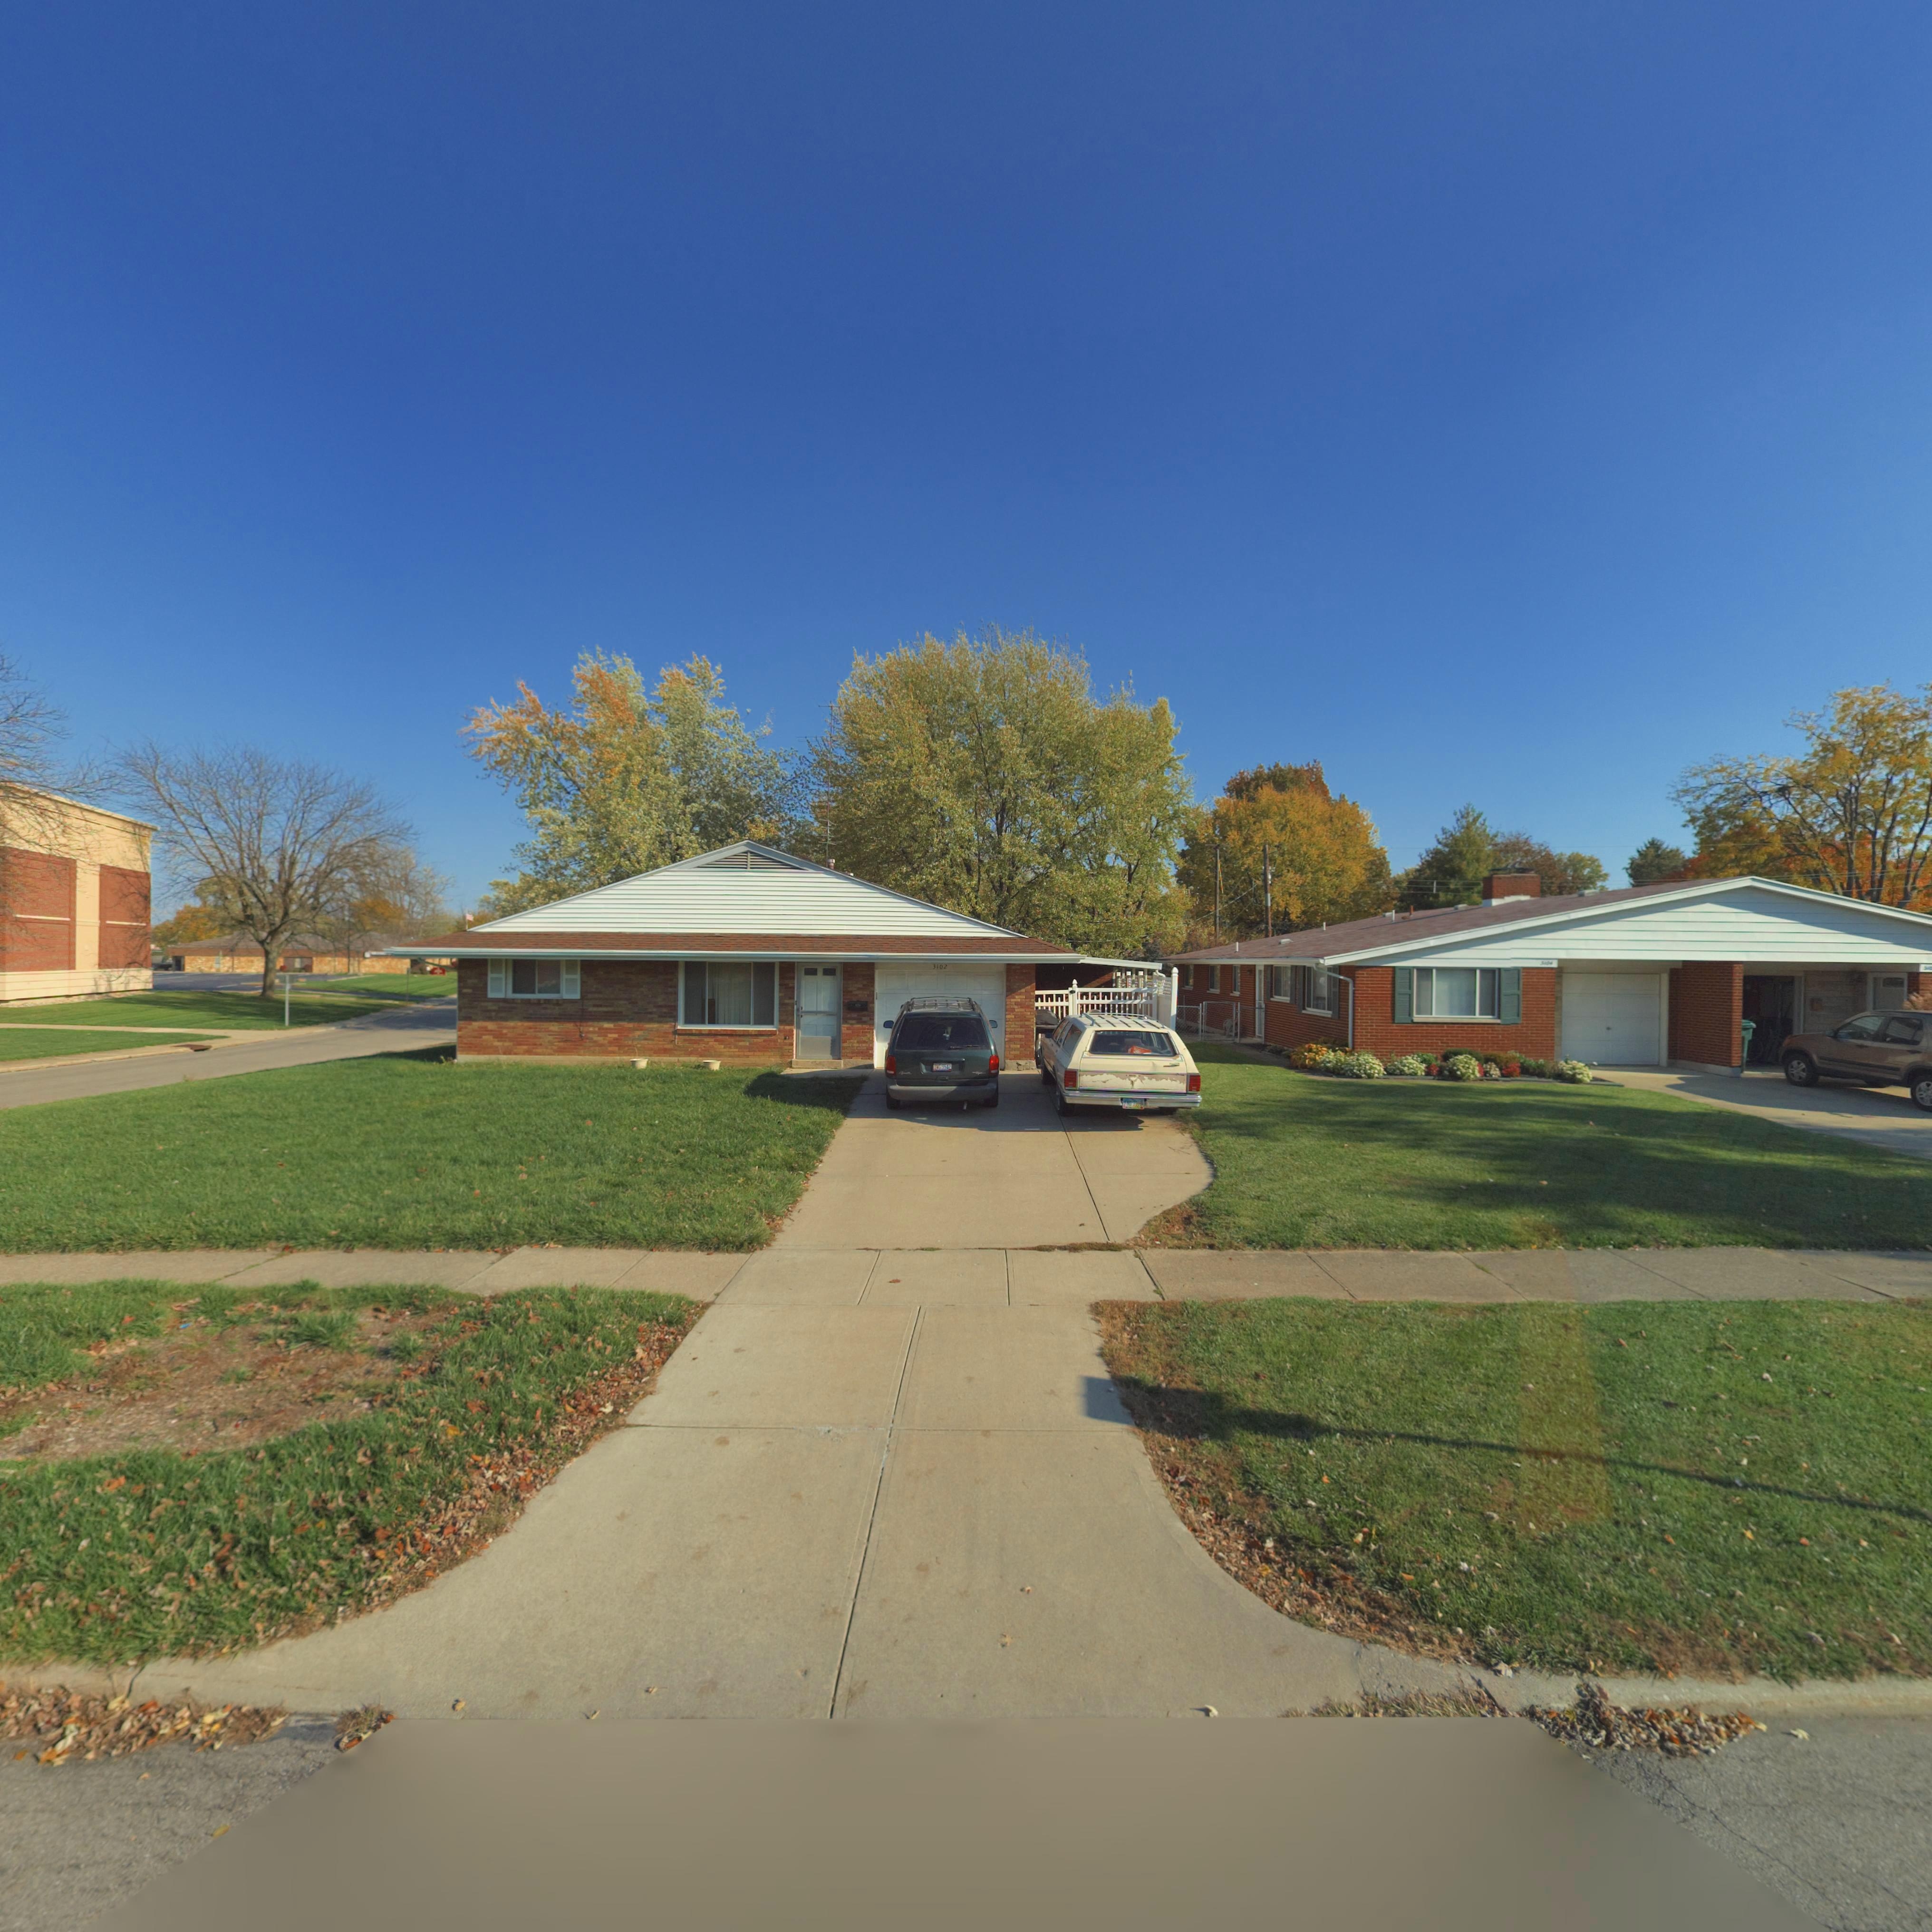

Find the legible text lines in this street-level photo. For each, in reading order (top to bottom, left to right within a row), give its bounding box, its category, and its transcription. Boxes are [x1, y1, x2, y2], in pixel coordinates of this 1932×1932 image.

[1539, 960, 1553, 966] StreetNumber: 3104
[932, 963, 947, 969] StreetNumber: 3102